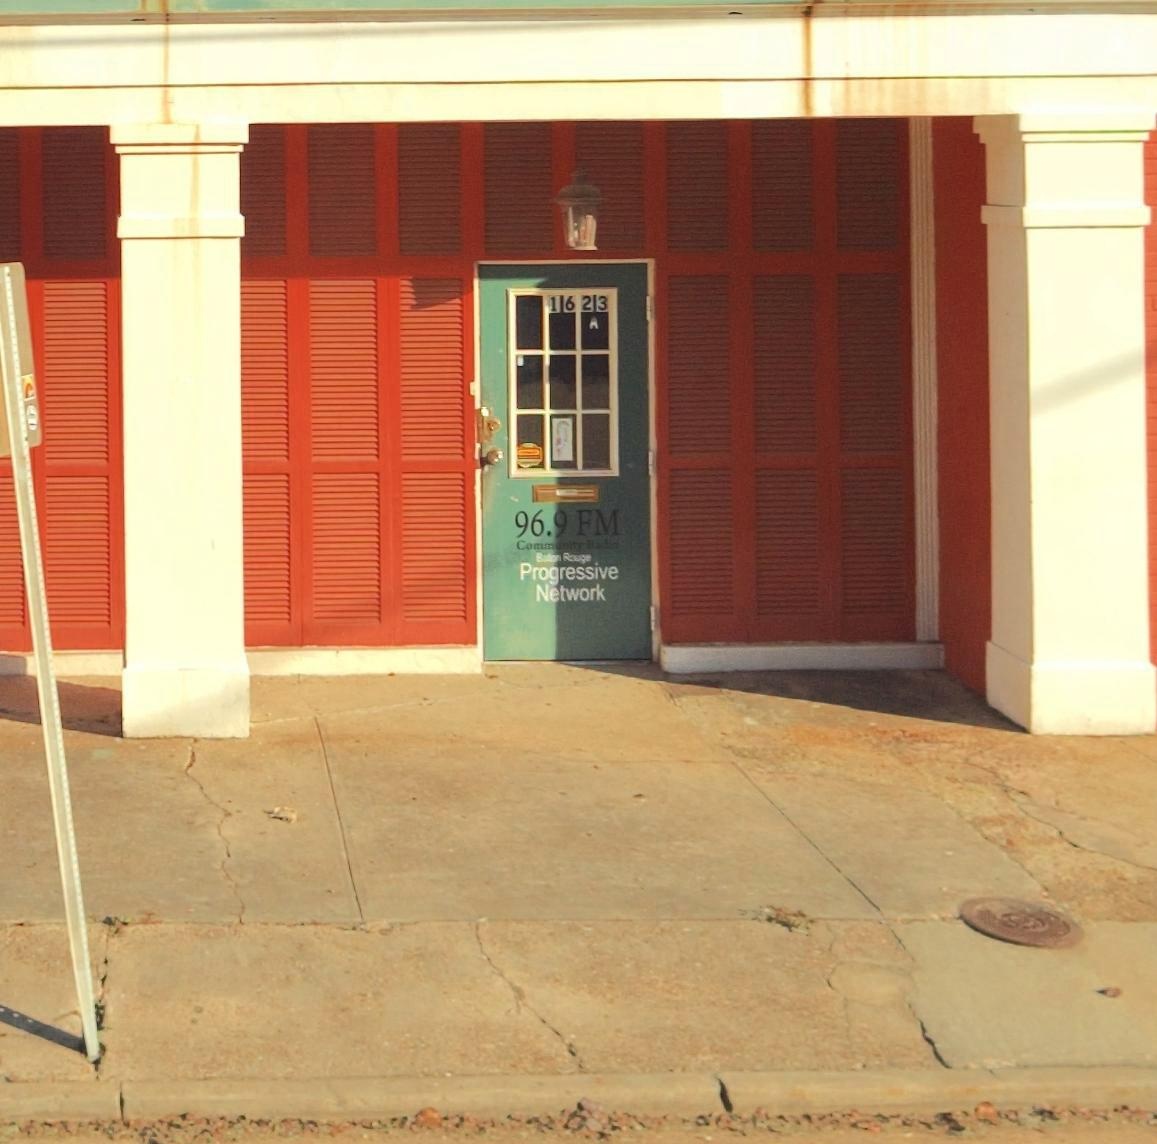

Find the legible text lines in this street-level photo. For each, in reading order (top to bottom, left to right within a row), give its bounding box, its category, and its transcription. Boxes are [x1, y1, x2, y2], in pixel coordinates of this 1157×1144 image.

[548, 294, 609, 313] StreetNumber: 16*23
[586, 314, 602, 331] SecondaryUnitDesignator: A
[512, 506, 624, 540] BusinessName: 96.9 FM
[534, 550, 596, 565] None: Baton Rouge
[518, 559, 623, 587] None: Progressive
[534, 581, 609, 604] None: Network